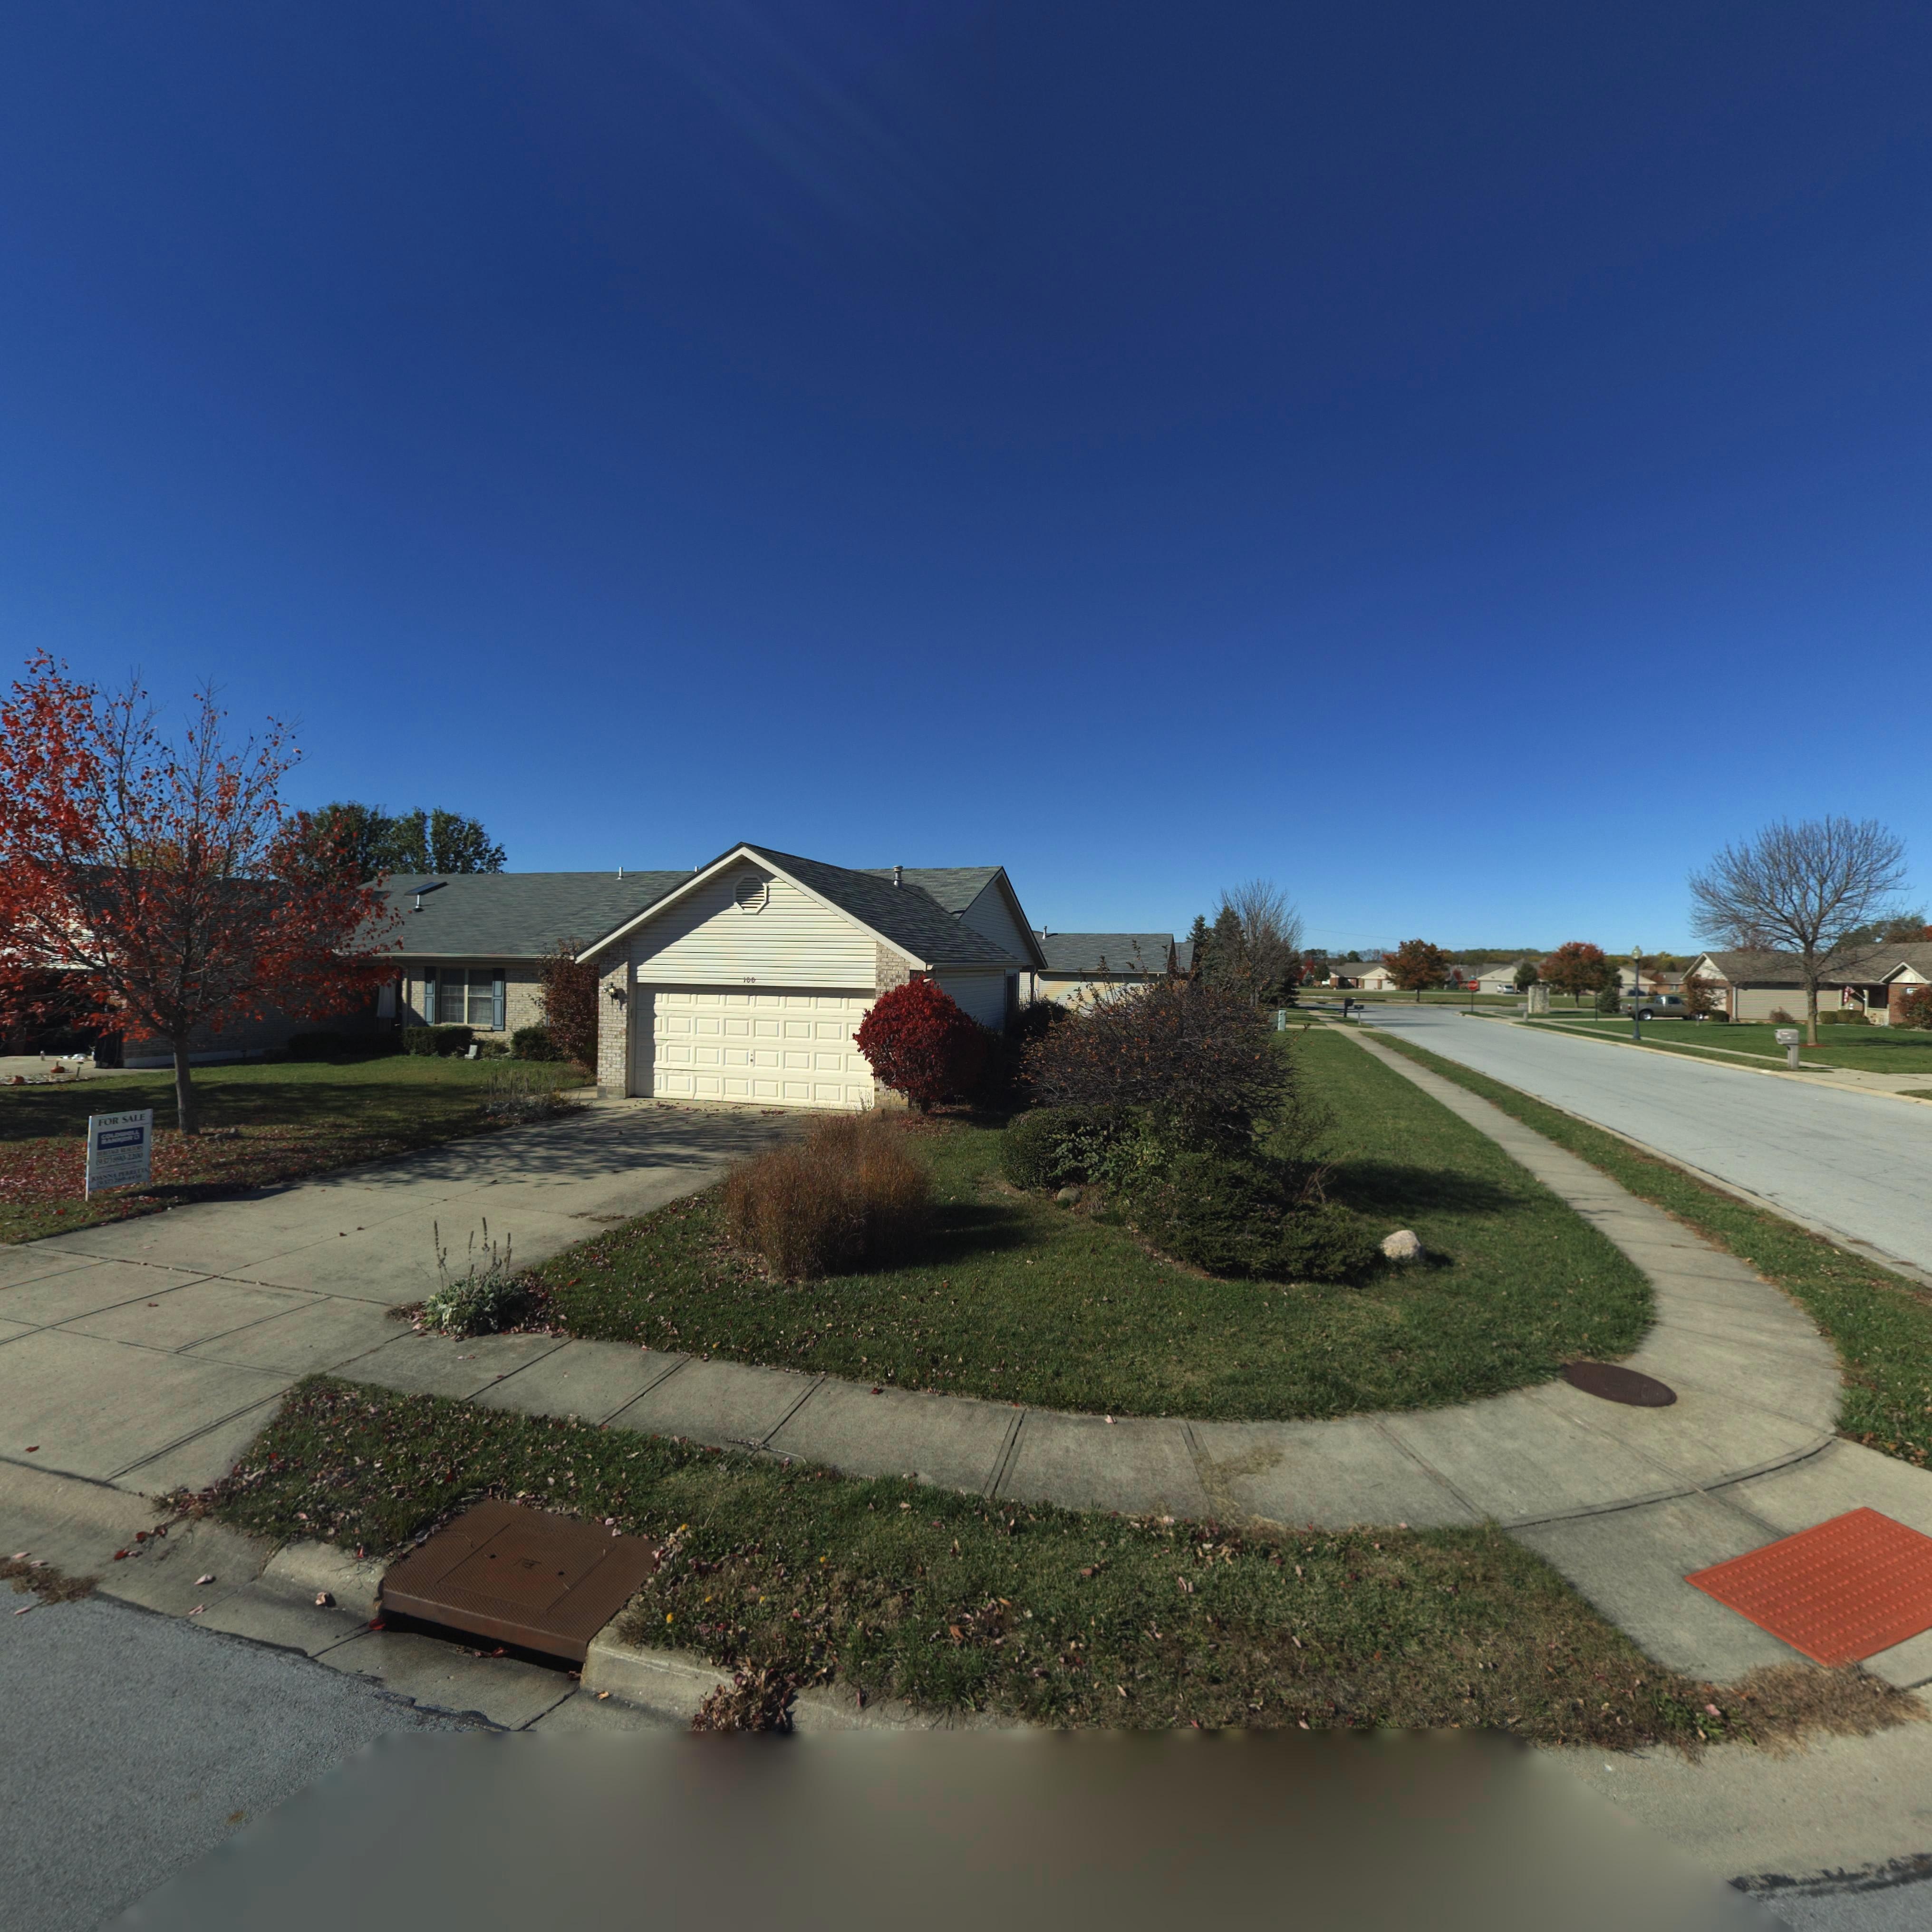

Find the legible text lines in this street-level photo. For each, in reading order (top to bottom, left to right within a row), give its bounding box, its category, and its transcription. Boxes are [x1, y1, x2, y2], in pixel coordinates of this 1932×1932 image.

[743, 976, 756, 983] StreetNumber: 100
[97, 1112, 147, 1128] None: FOR SALE
[101, 1129, 140, 1140] None: COLD**LL